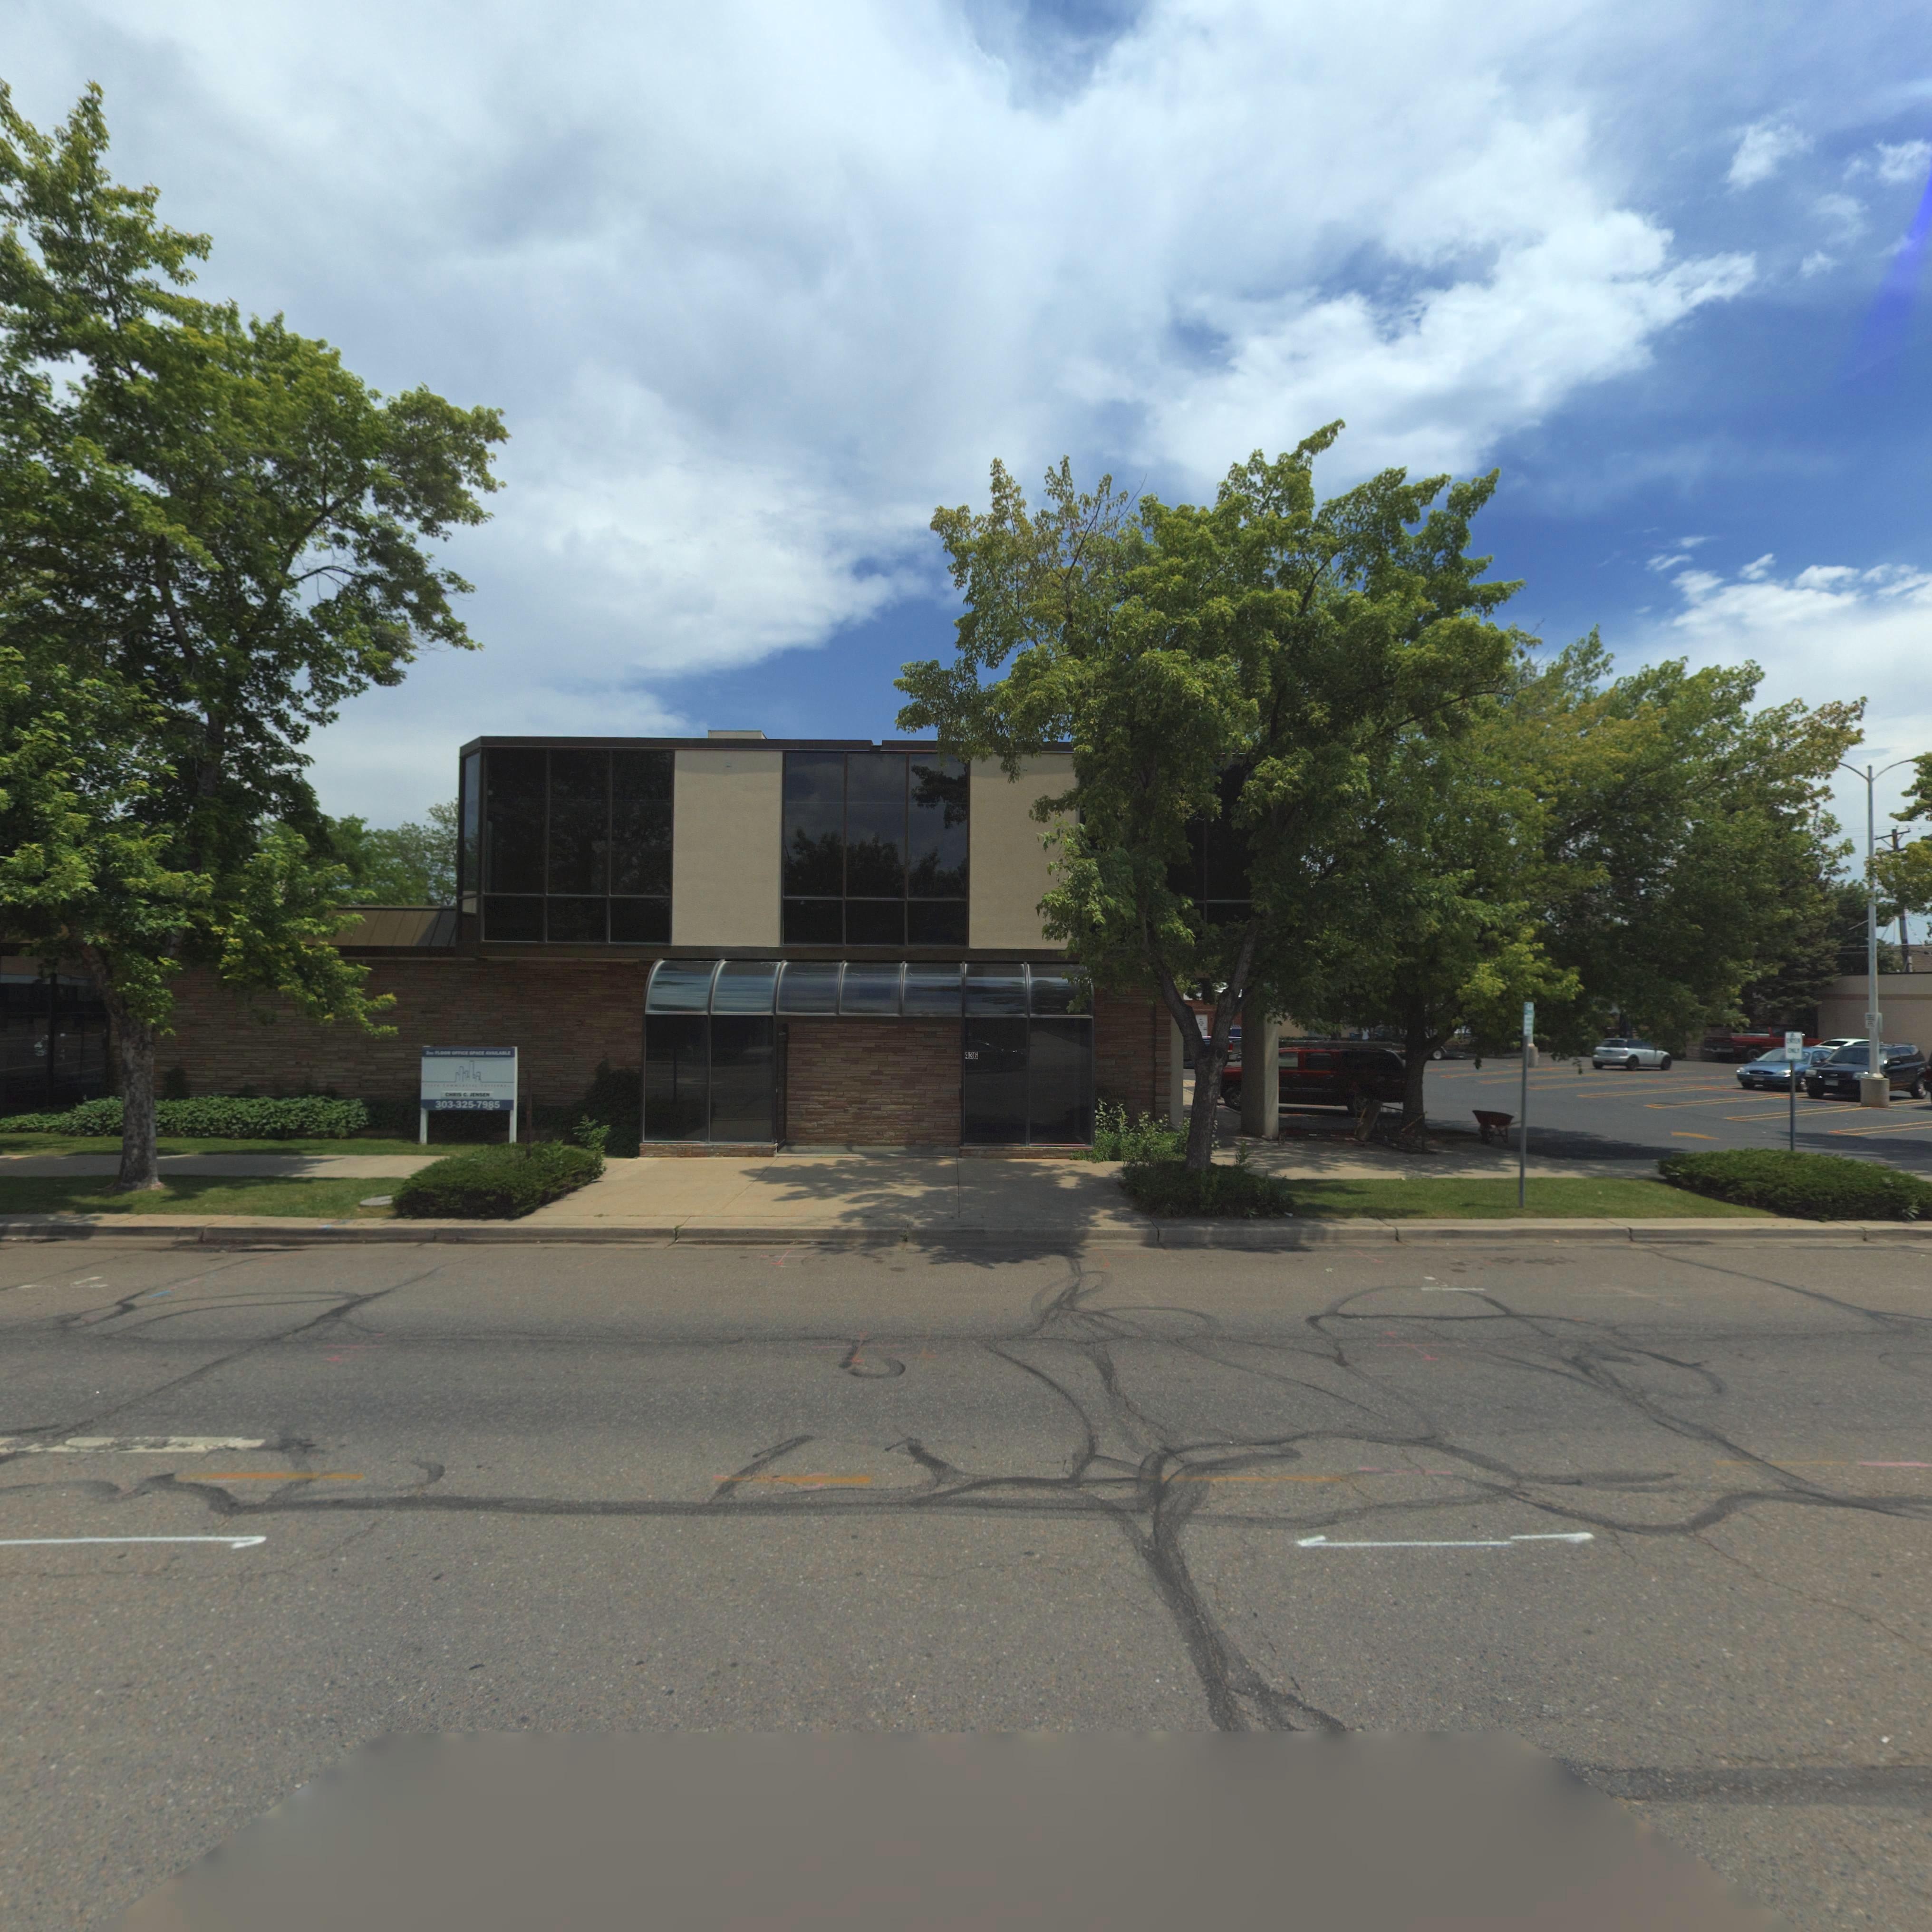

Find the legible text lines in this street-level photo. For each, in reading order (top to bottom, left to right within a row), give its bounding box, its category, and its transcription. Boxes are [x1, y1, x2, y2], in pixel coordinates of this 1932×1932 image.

[964, 1052, 977, 1059] StreetNumber: 436